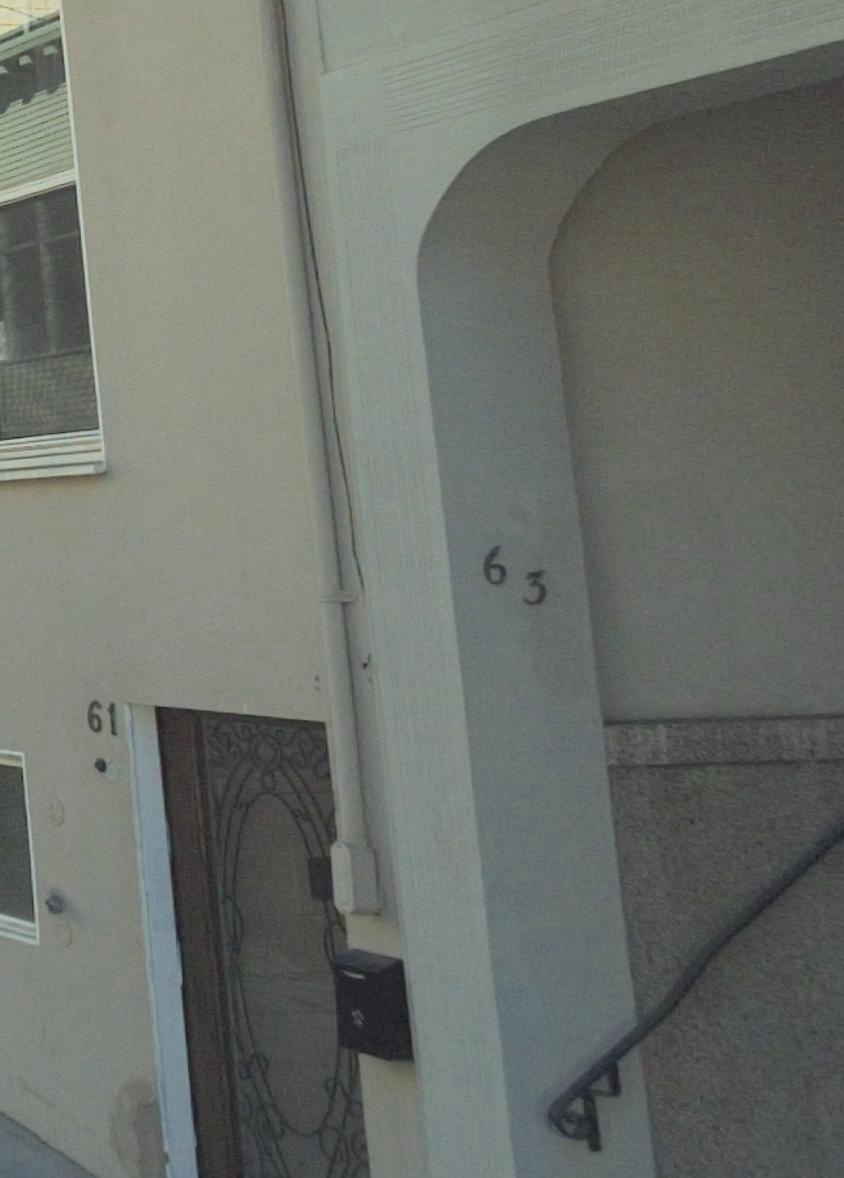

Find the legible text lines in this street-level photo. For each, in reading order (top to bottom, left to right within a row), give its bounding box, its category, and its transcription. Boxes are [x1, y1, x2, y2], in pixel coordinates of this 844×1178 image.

[473, 539, 552, 615] StreetNumber: 63
[84, 698, 121, 739] StreetNumber: 61